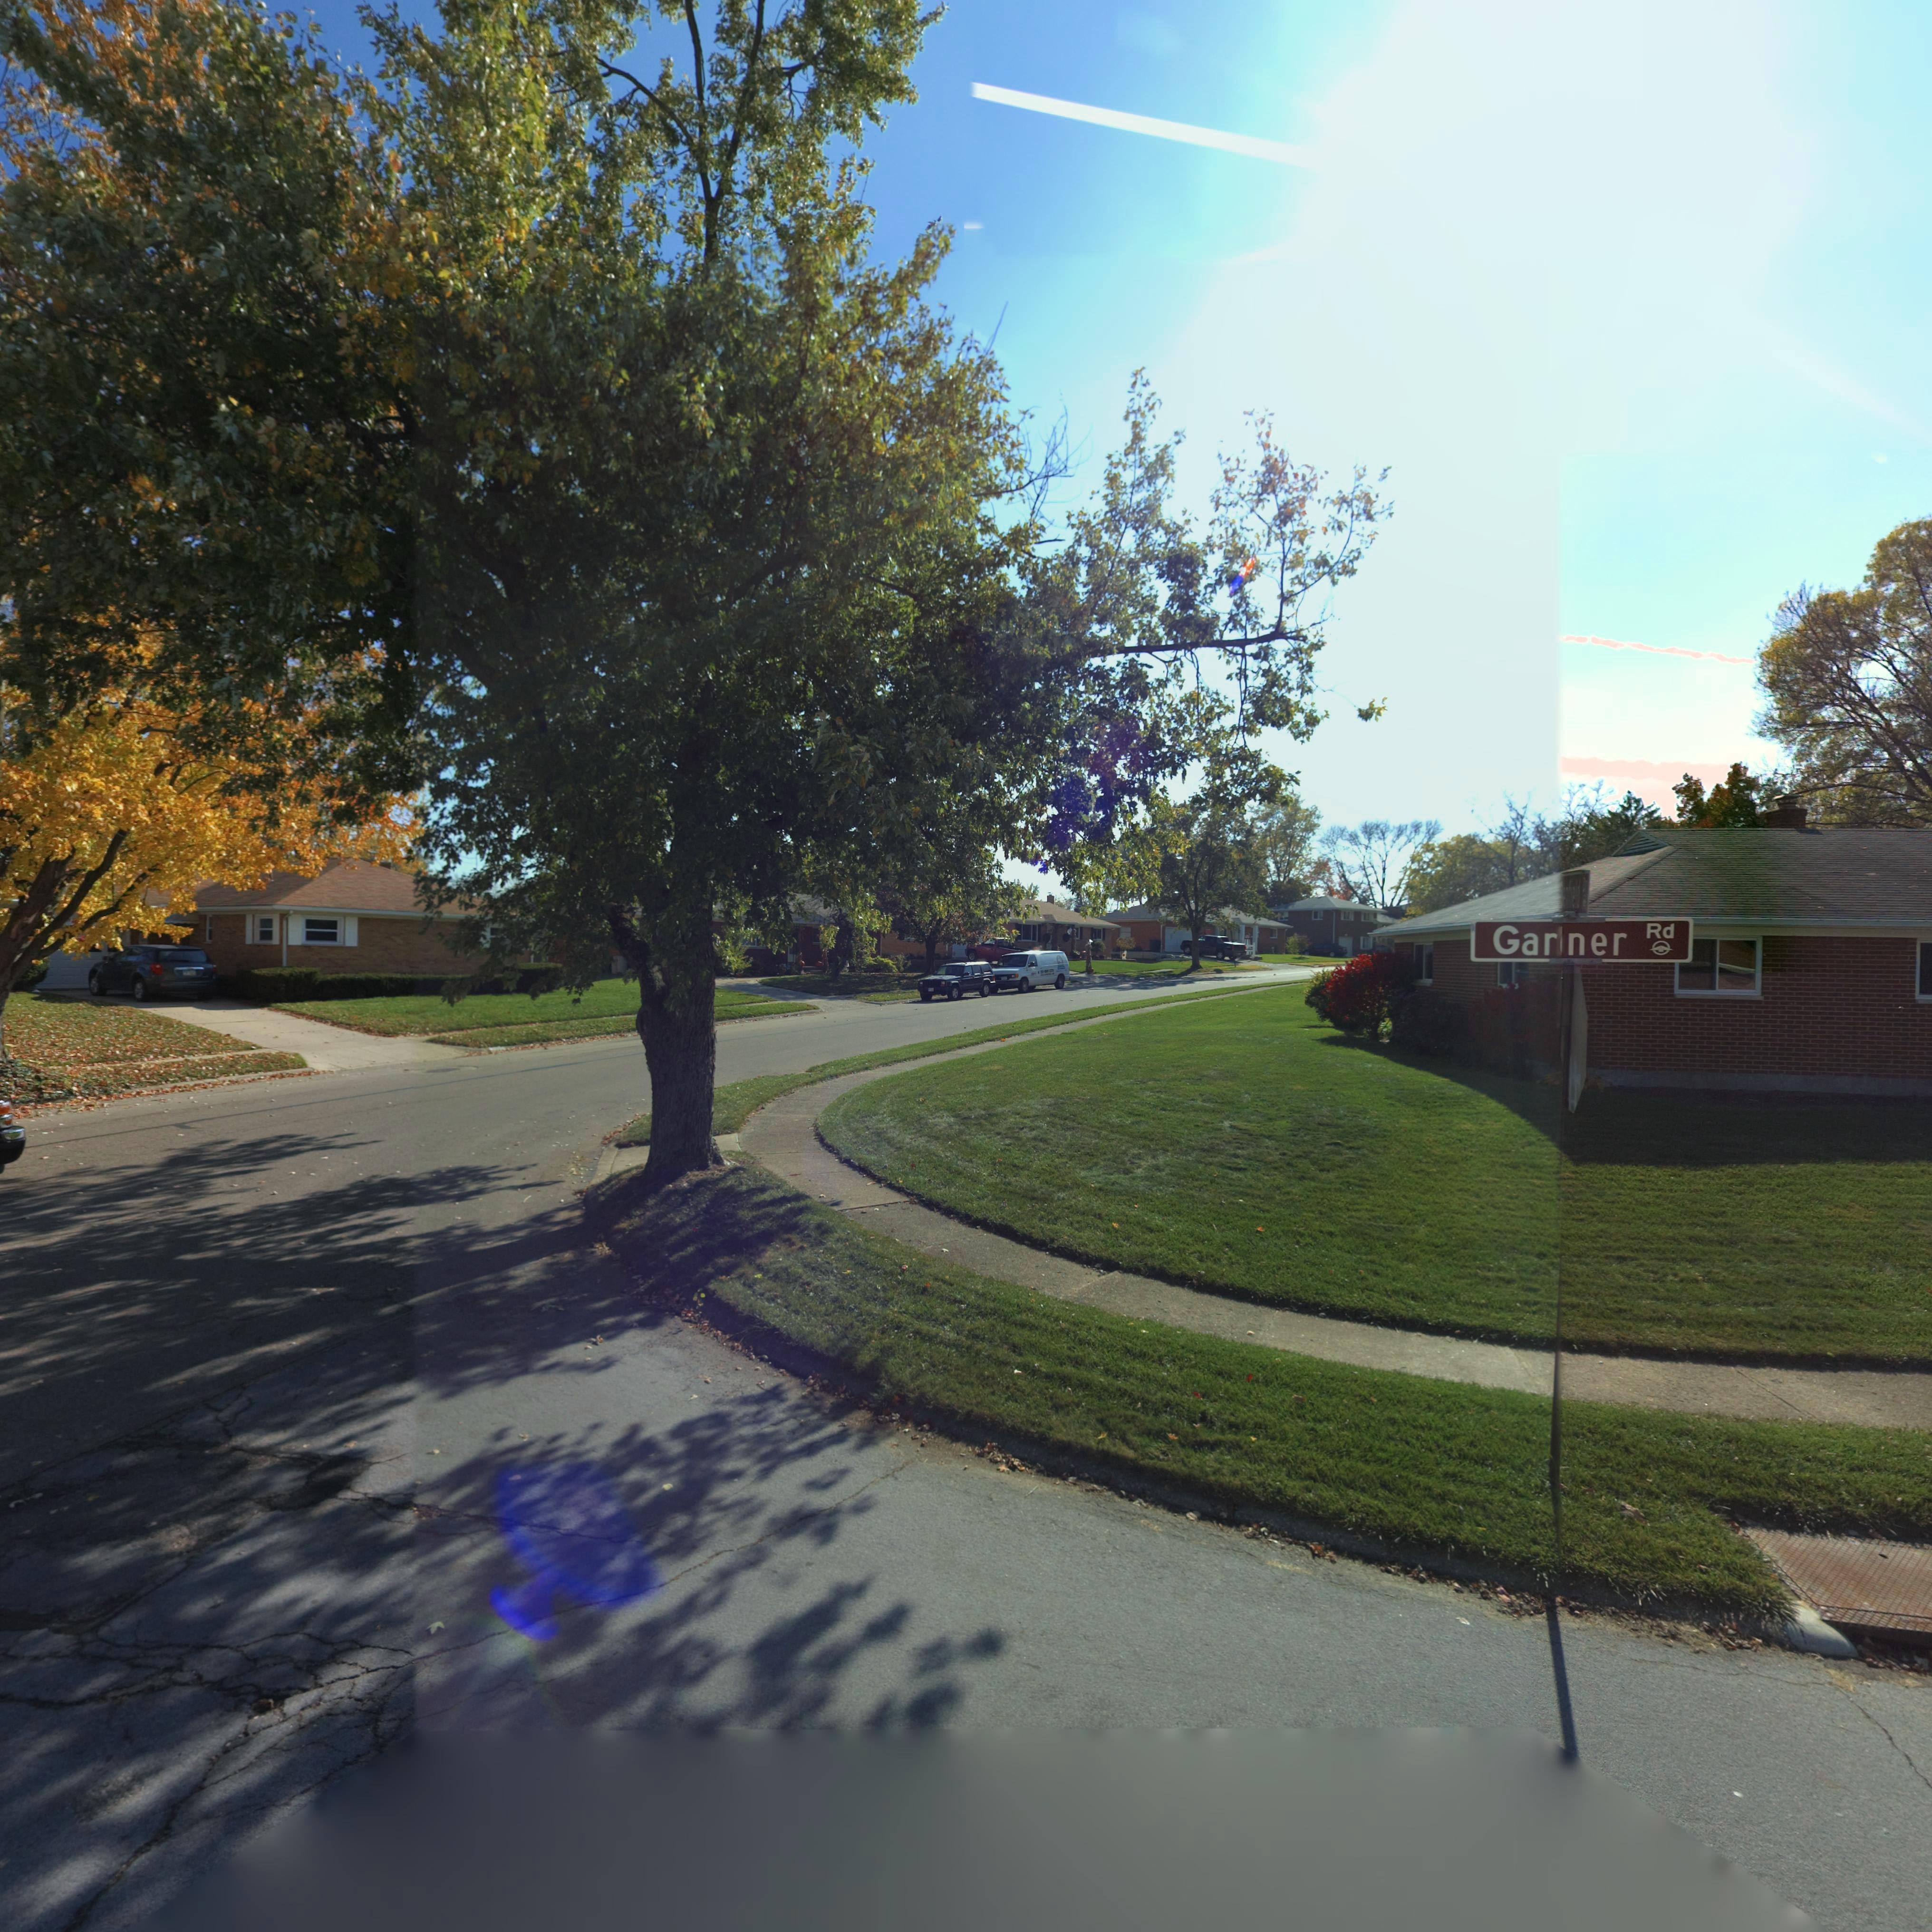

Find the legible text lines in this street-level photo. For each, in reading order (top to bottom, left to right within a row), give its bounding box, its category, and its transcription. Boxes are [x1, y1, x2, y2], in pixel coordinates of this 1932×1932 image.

[1491, 920, 1677, 957] StreetName: Gar*ner Rd